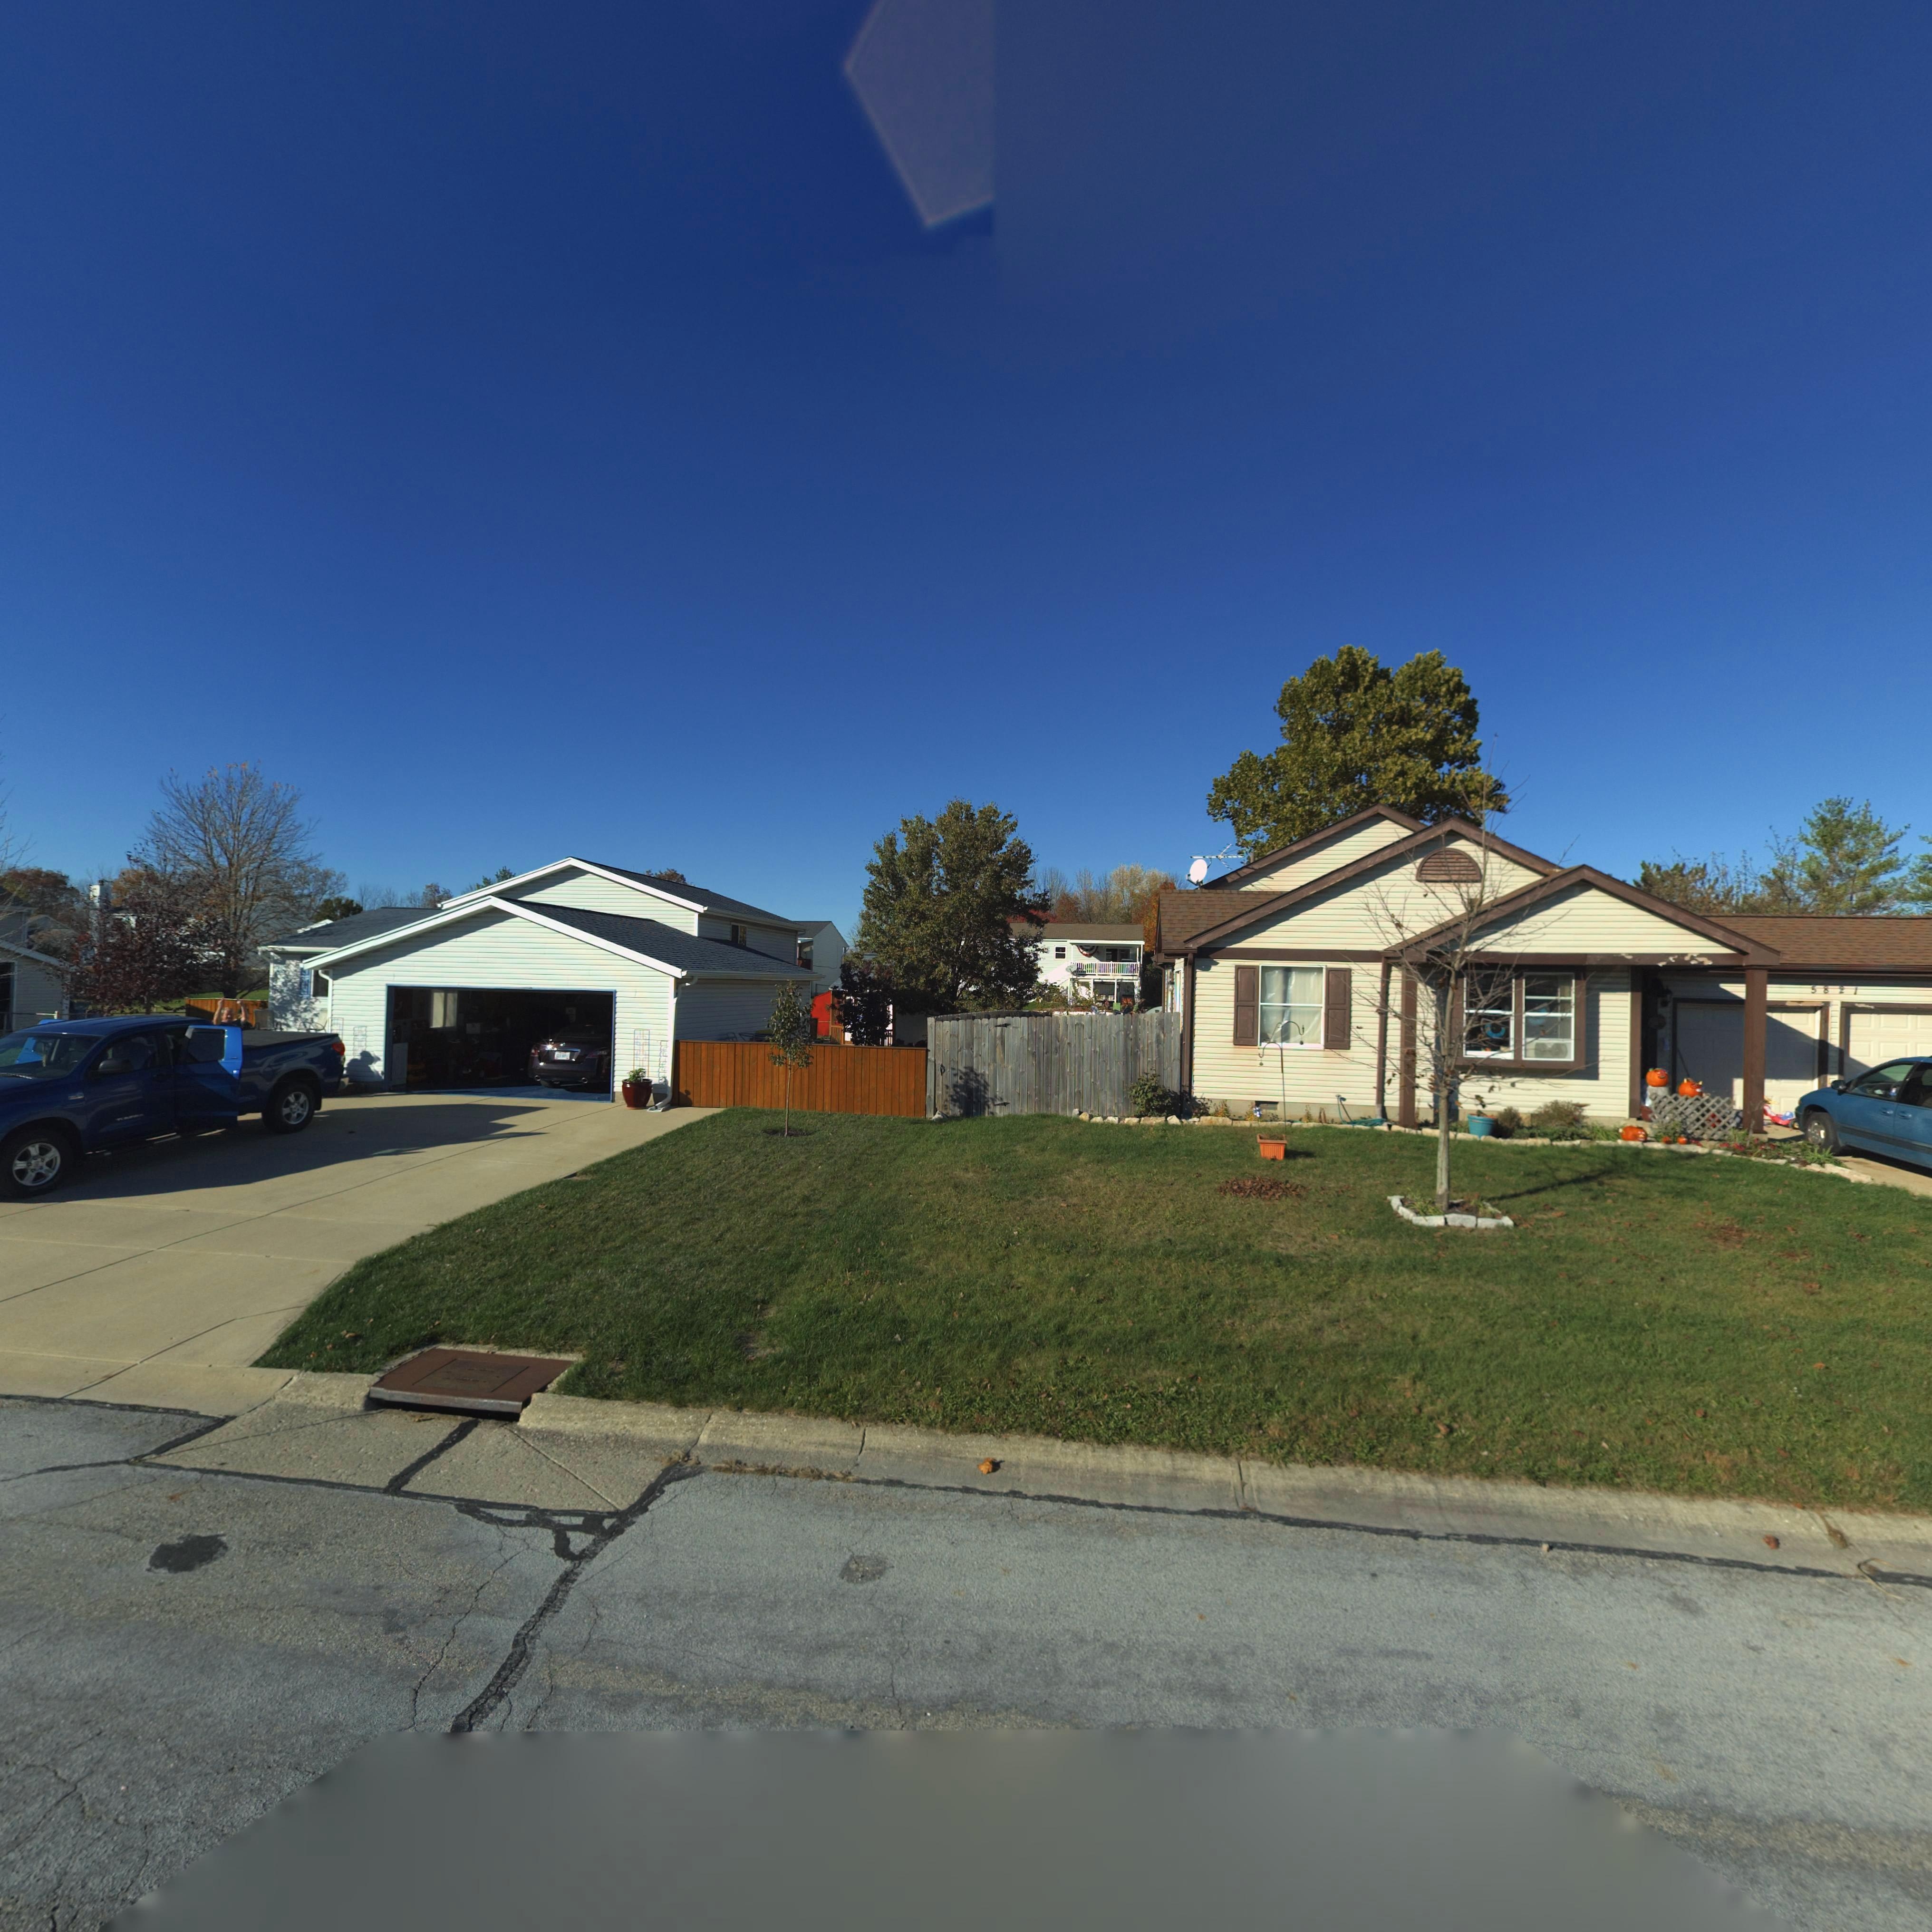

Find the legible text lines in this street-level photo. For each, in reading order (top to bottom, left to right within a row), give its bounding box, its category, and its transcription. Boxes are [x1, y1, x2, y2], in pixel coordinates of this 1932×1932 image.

[1809, 984, 1859, 996] StreetNumber: 5821